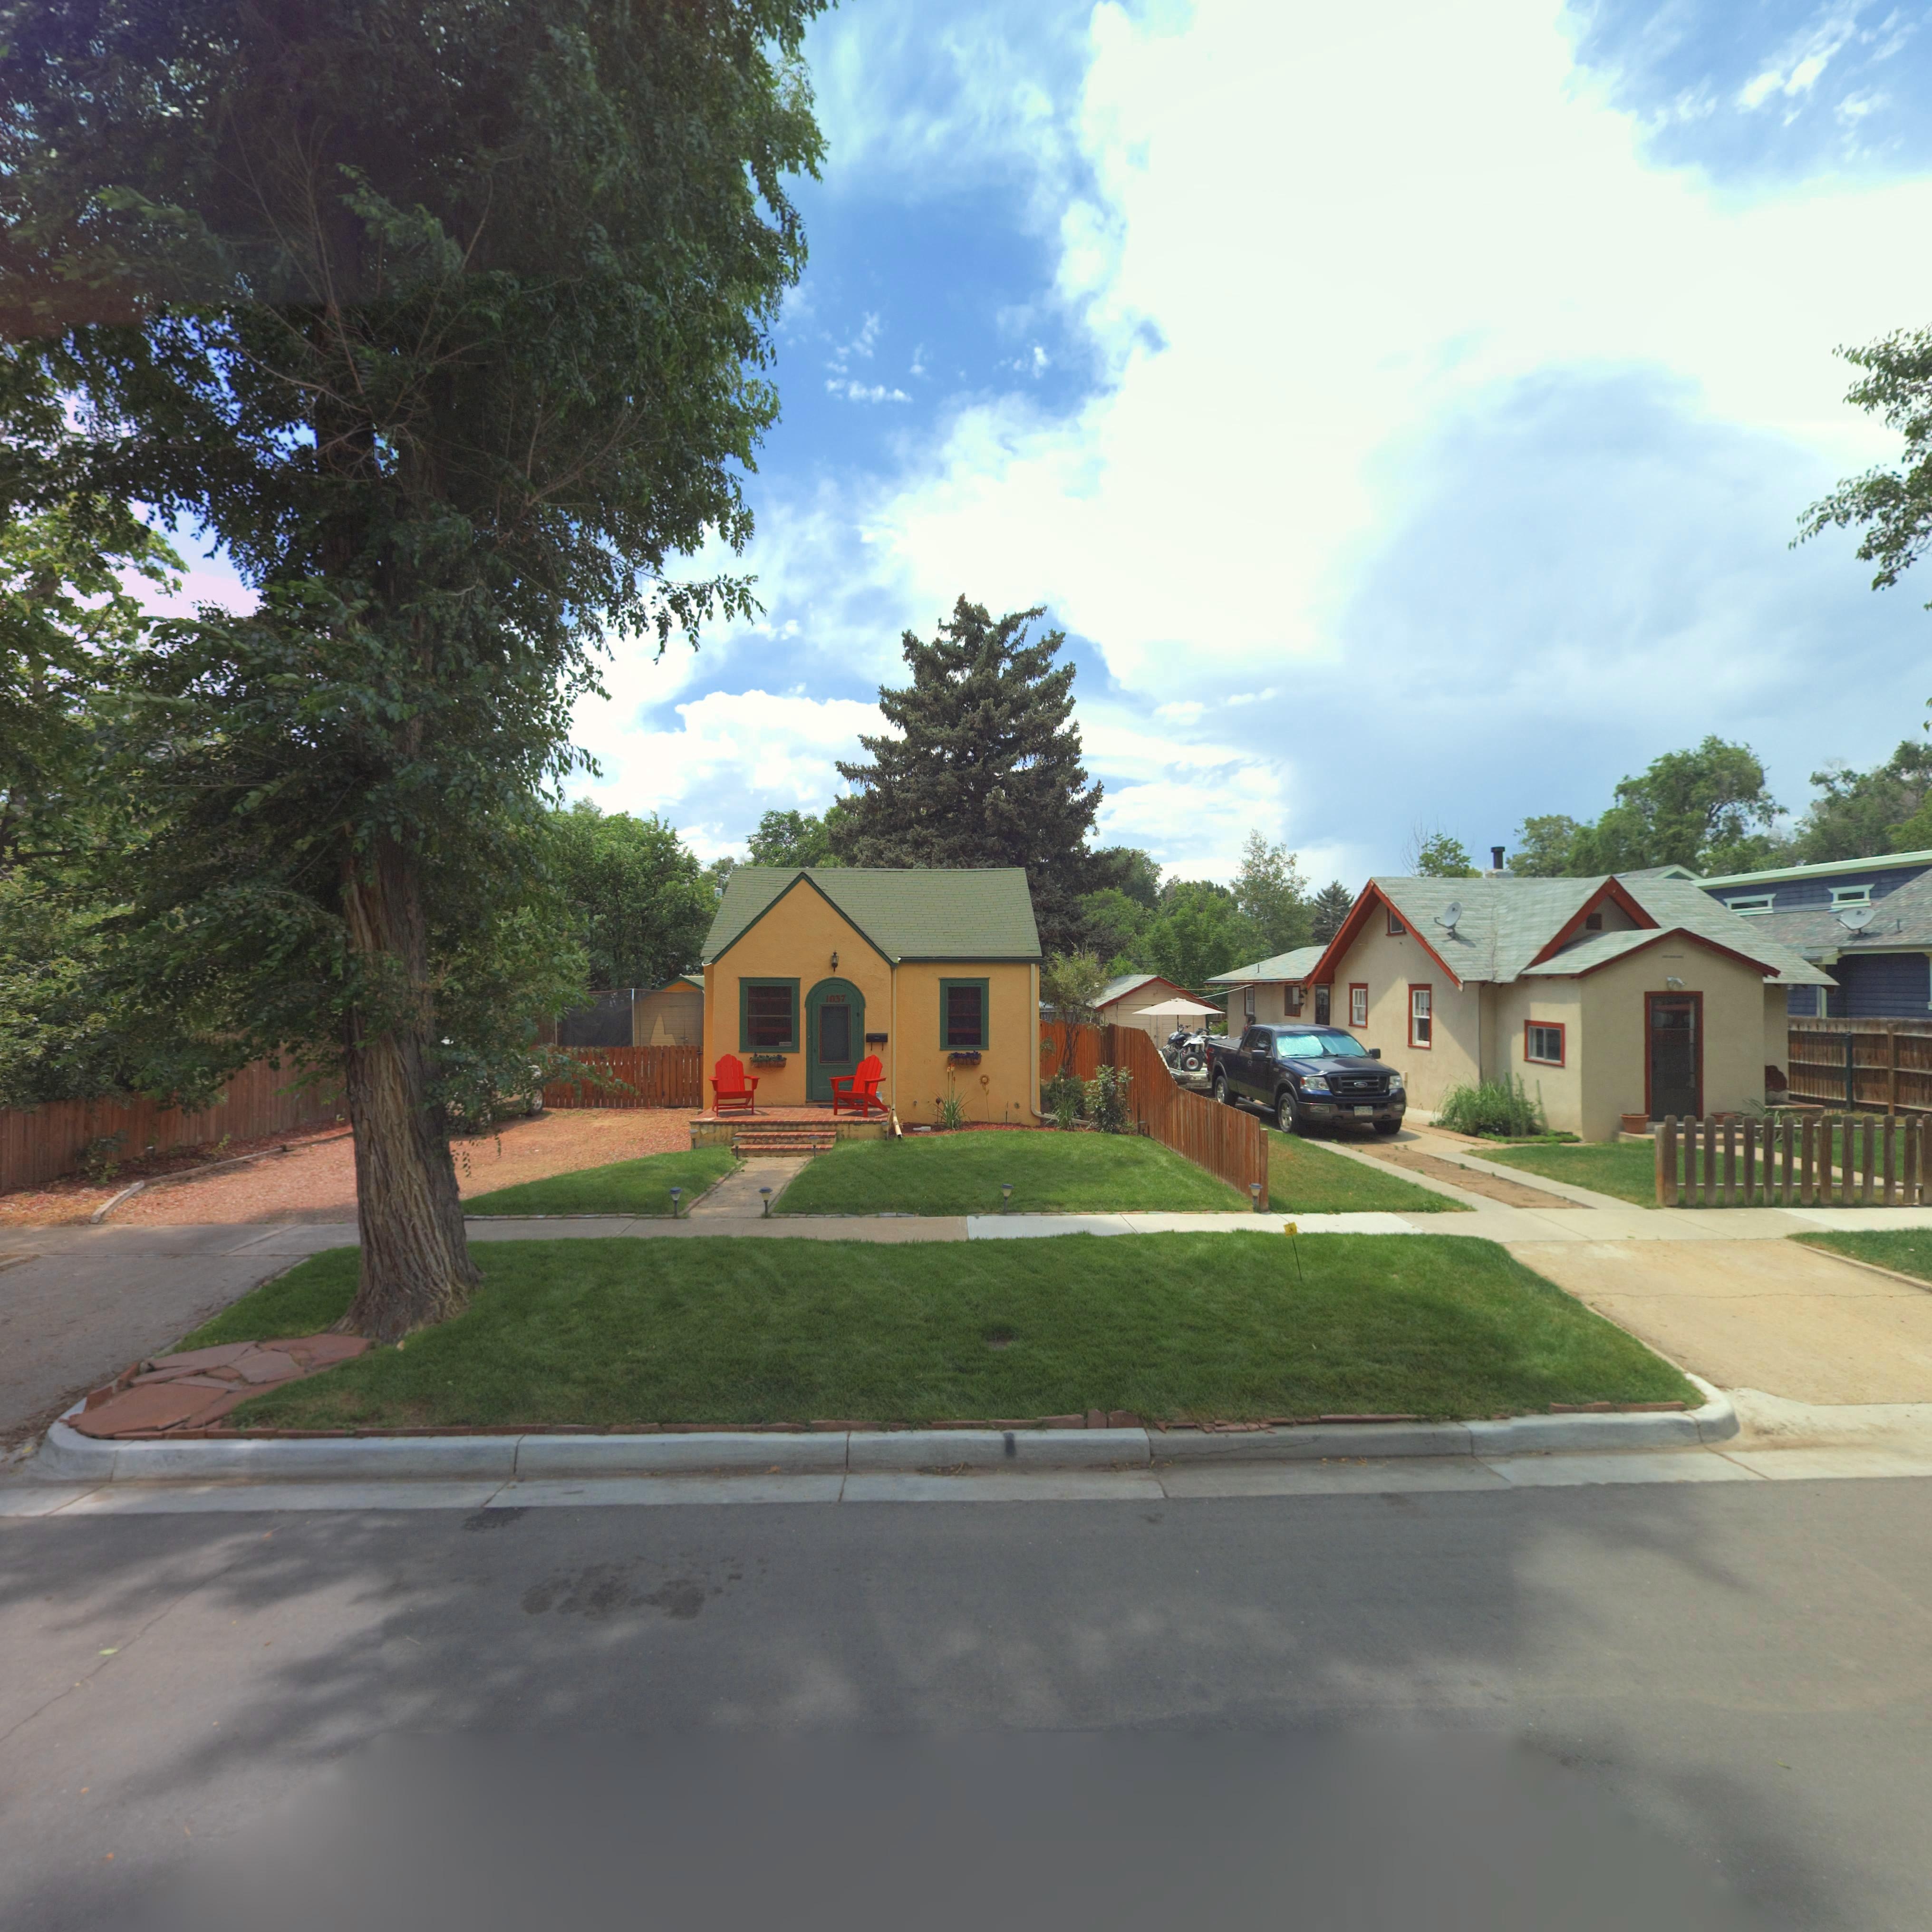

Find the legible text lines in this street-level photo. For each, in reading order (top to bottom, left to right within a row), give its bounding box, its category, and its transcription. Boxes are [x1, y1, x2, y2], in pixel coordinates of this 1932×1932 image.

[824, 994, 846, 1003] StreetNumber: 1037